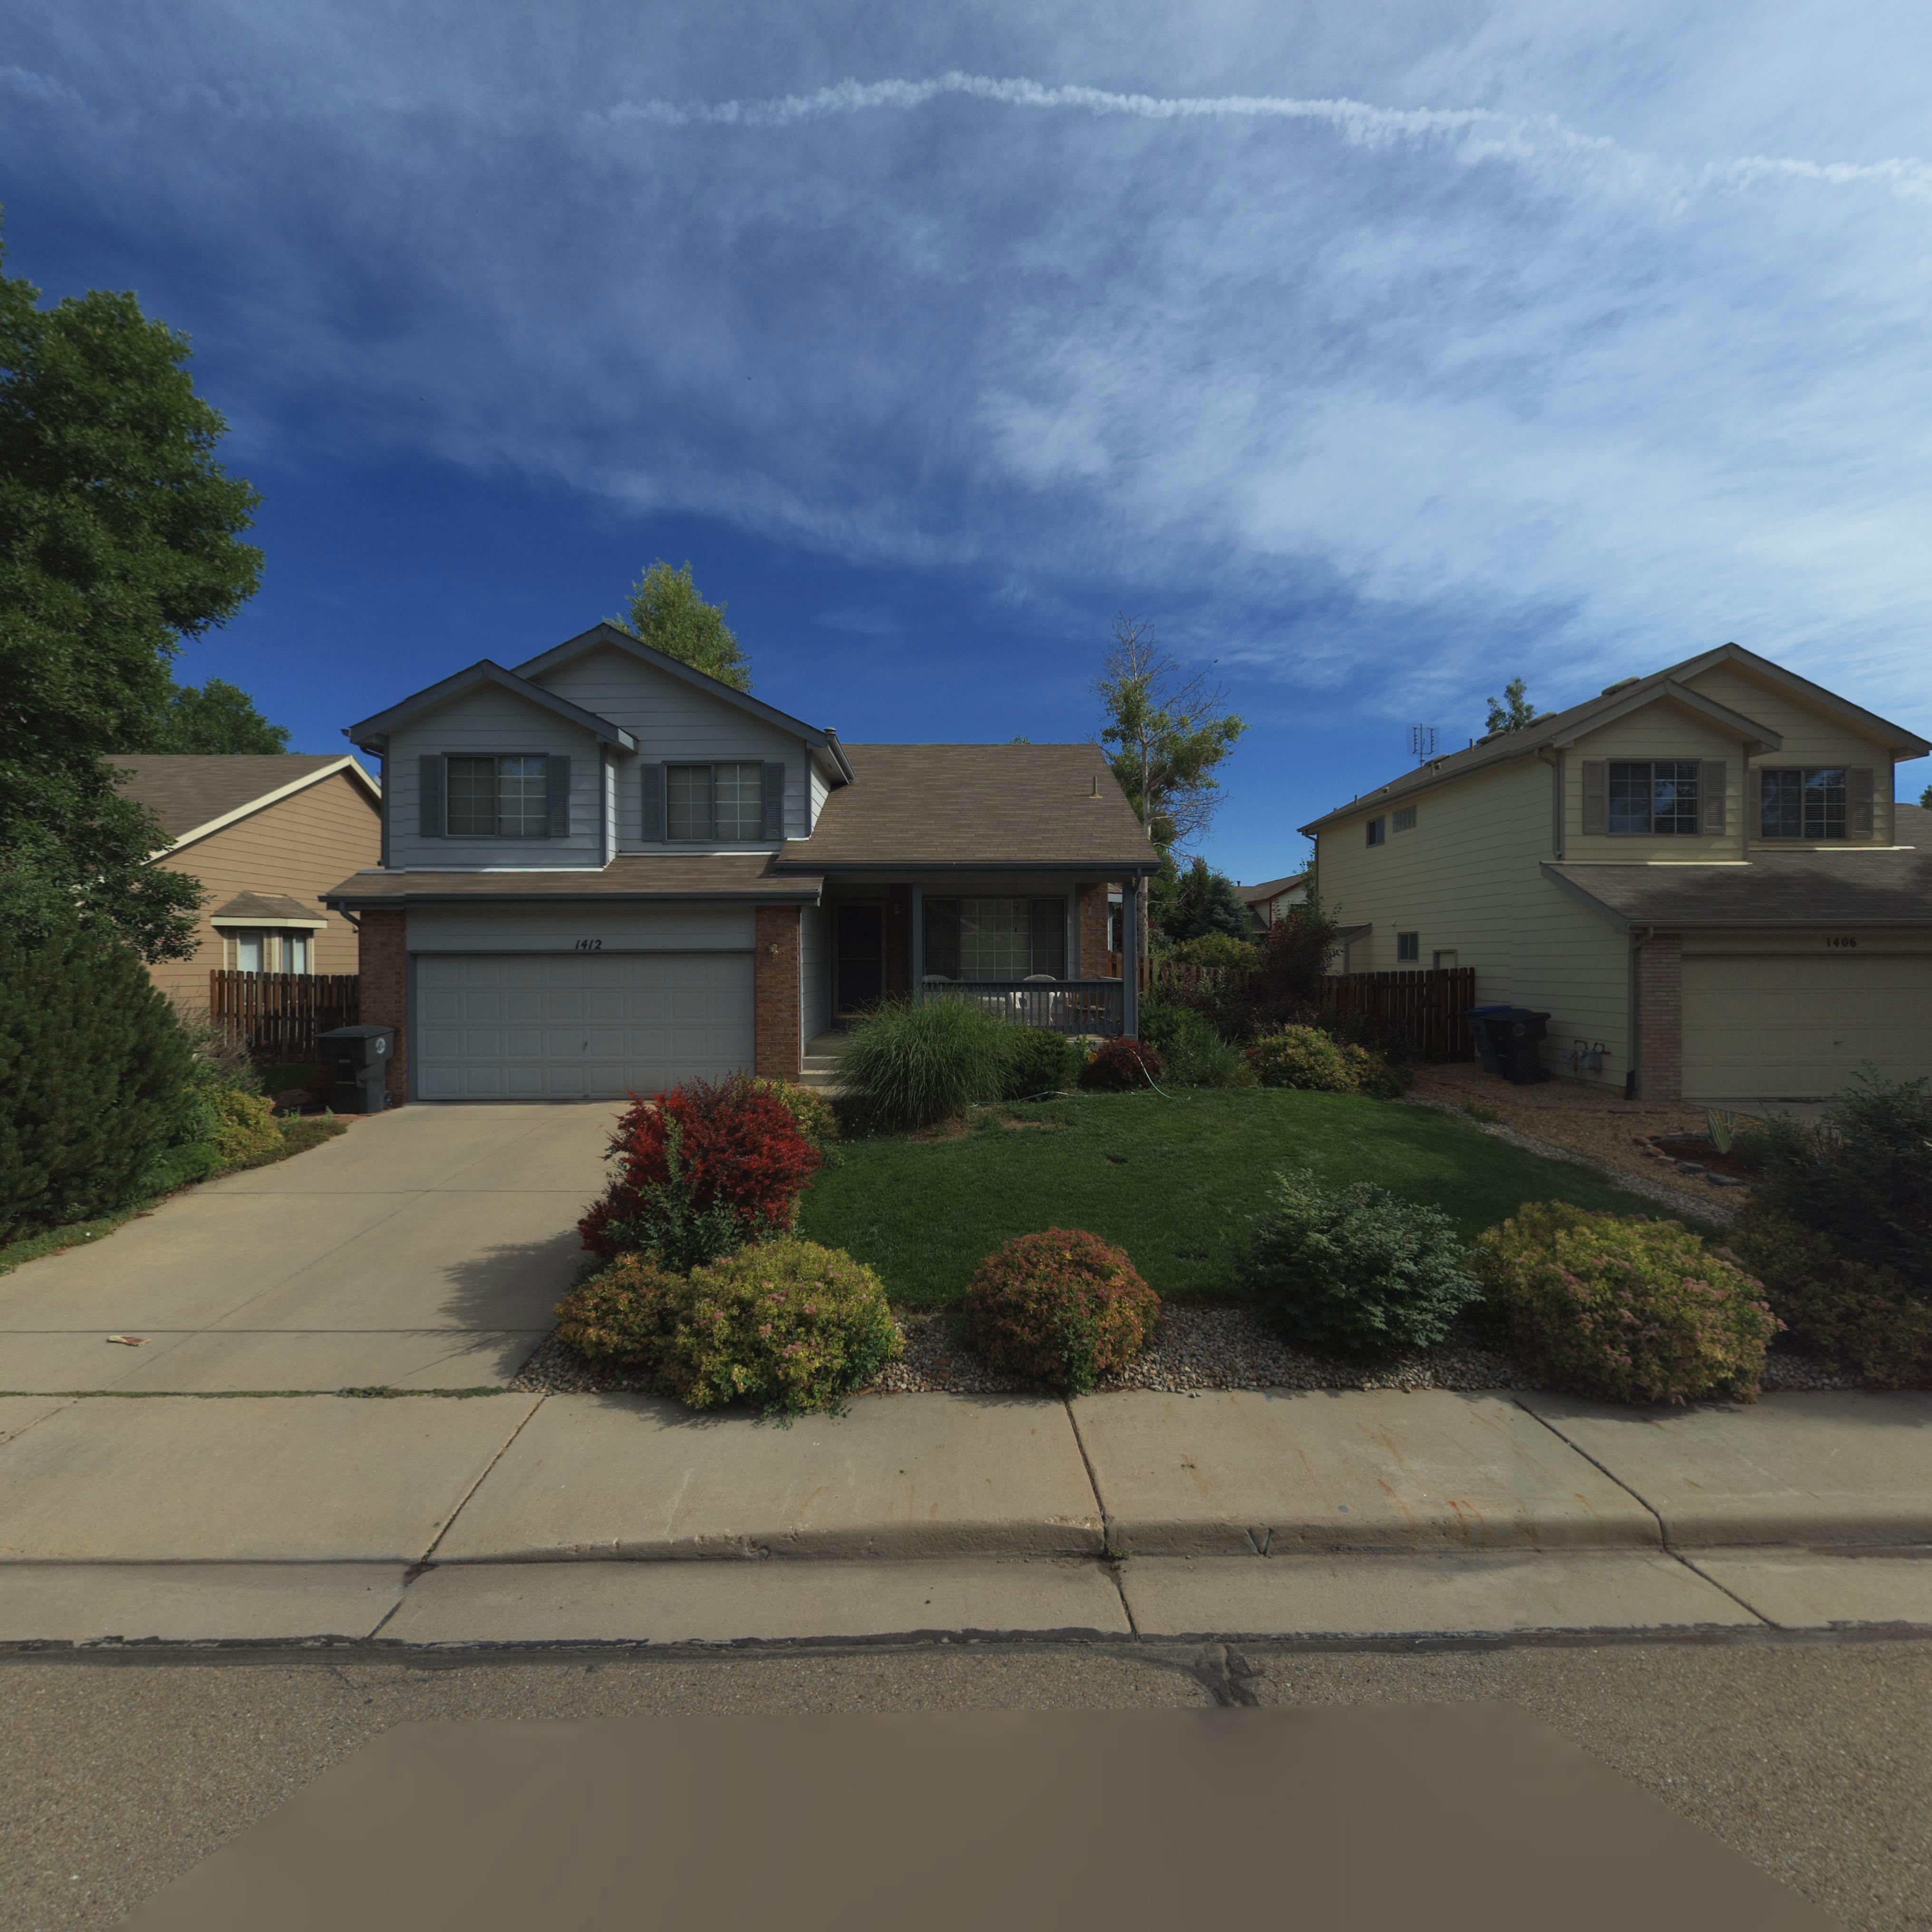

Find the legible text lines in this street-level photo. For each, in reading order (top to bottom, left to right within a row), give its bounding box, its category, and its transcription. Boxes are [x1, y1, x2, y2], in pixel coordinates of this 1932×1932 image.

[575, 938, 602, 949] StreetNumber: 1412
[1826, 937, 1857, 947] StreetNumber: 1406